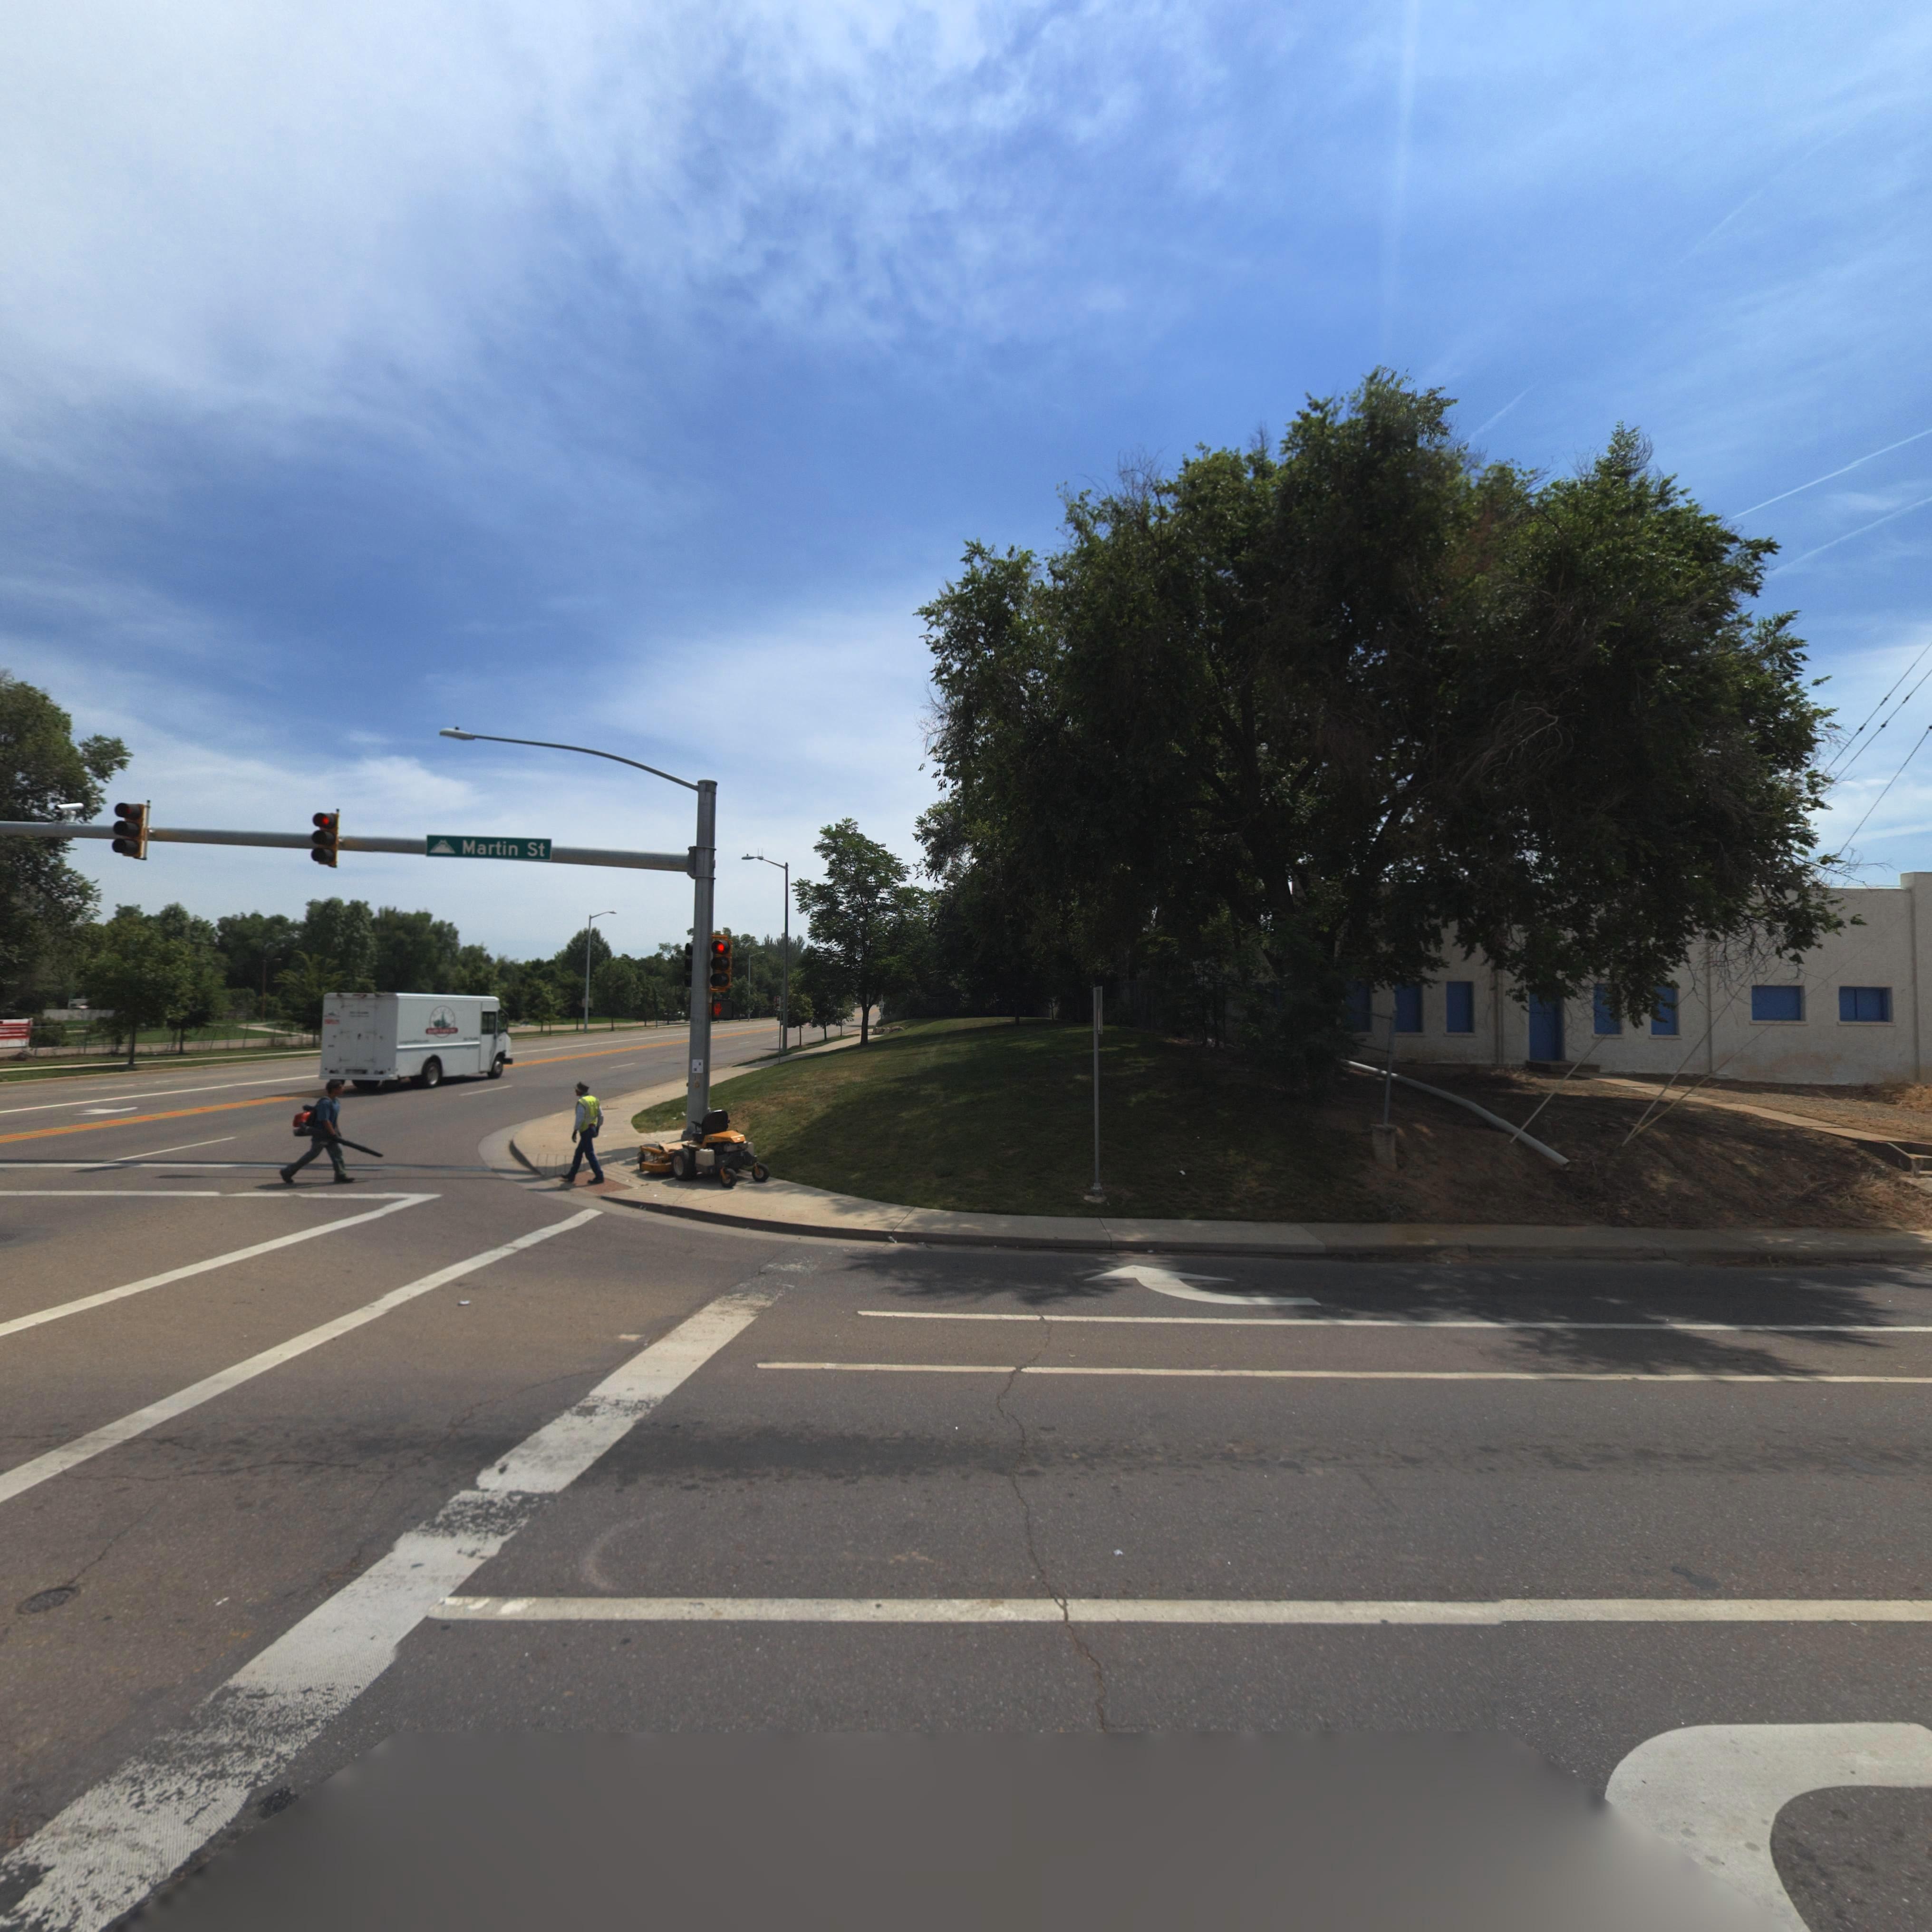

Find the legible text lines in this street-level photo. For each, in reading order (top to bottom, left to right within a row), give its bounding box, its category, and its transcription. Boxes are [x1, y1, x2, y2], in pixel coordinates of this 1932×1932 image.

[462, 839, 545, 857] StreetName: Martin St